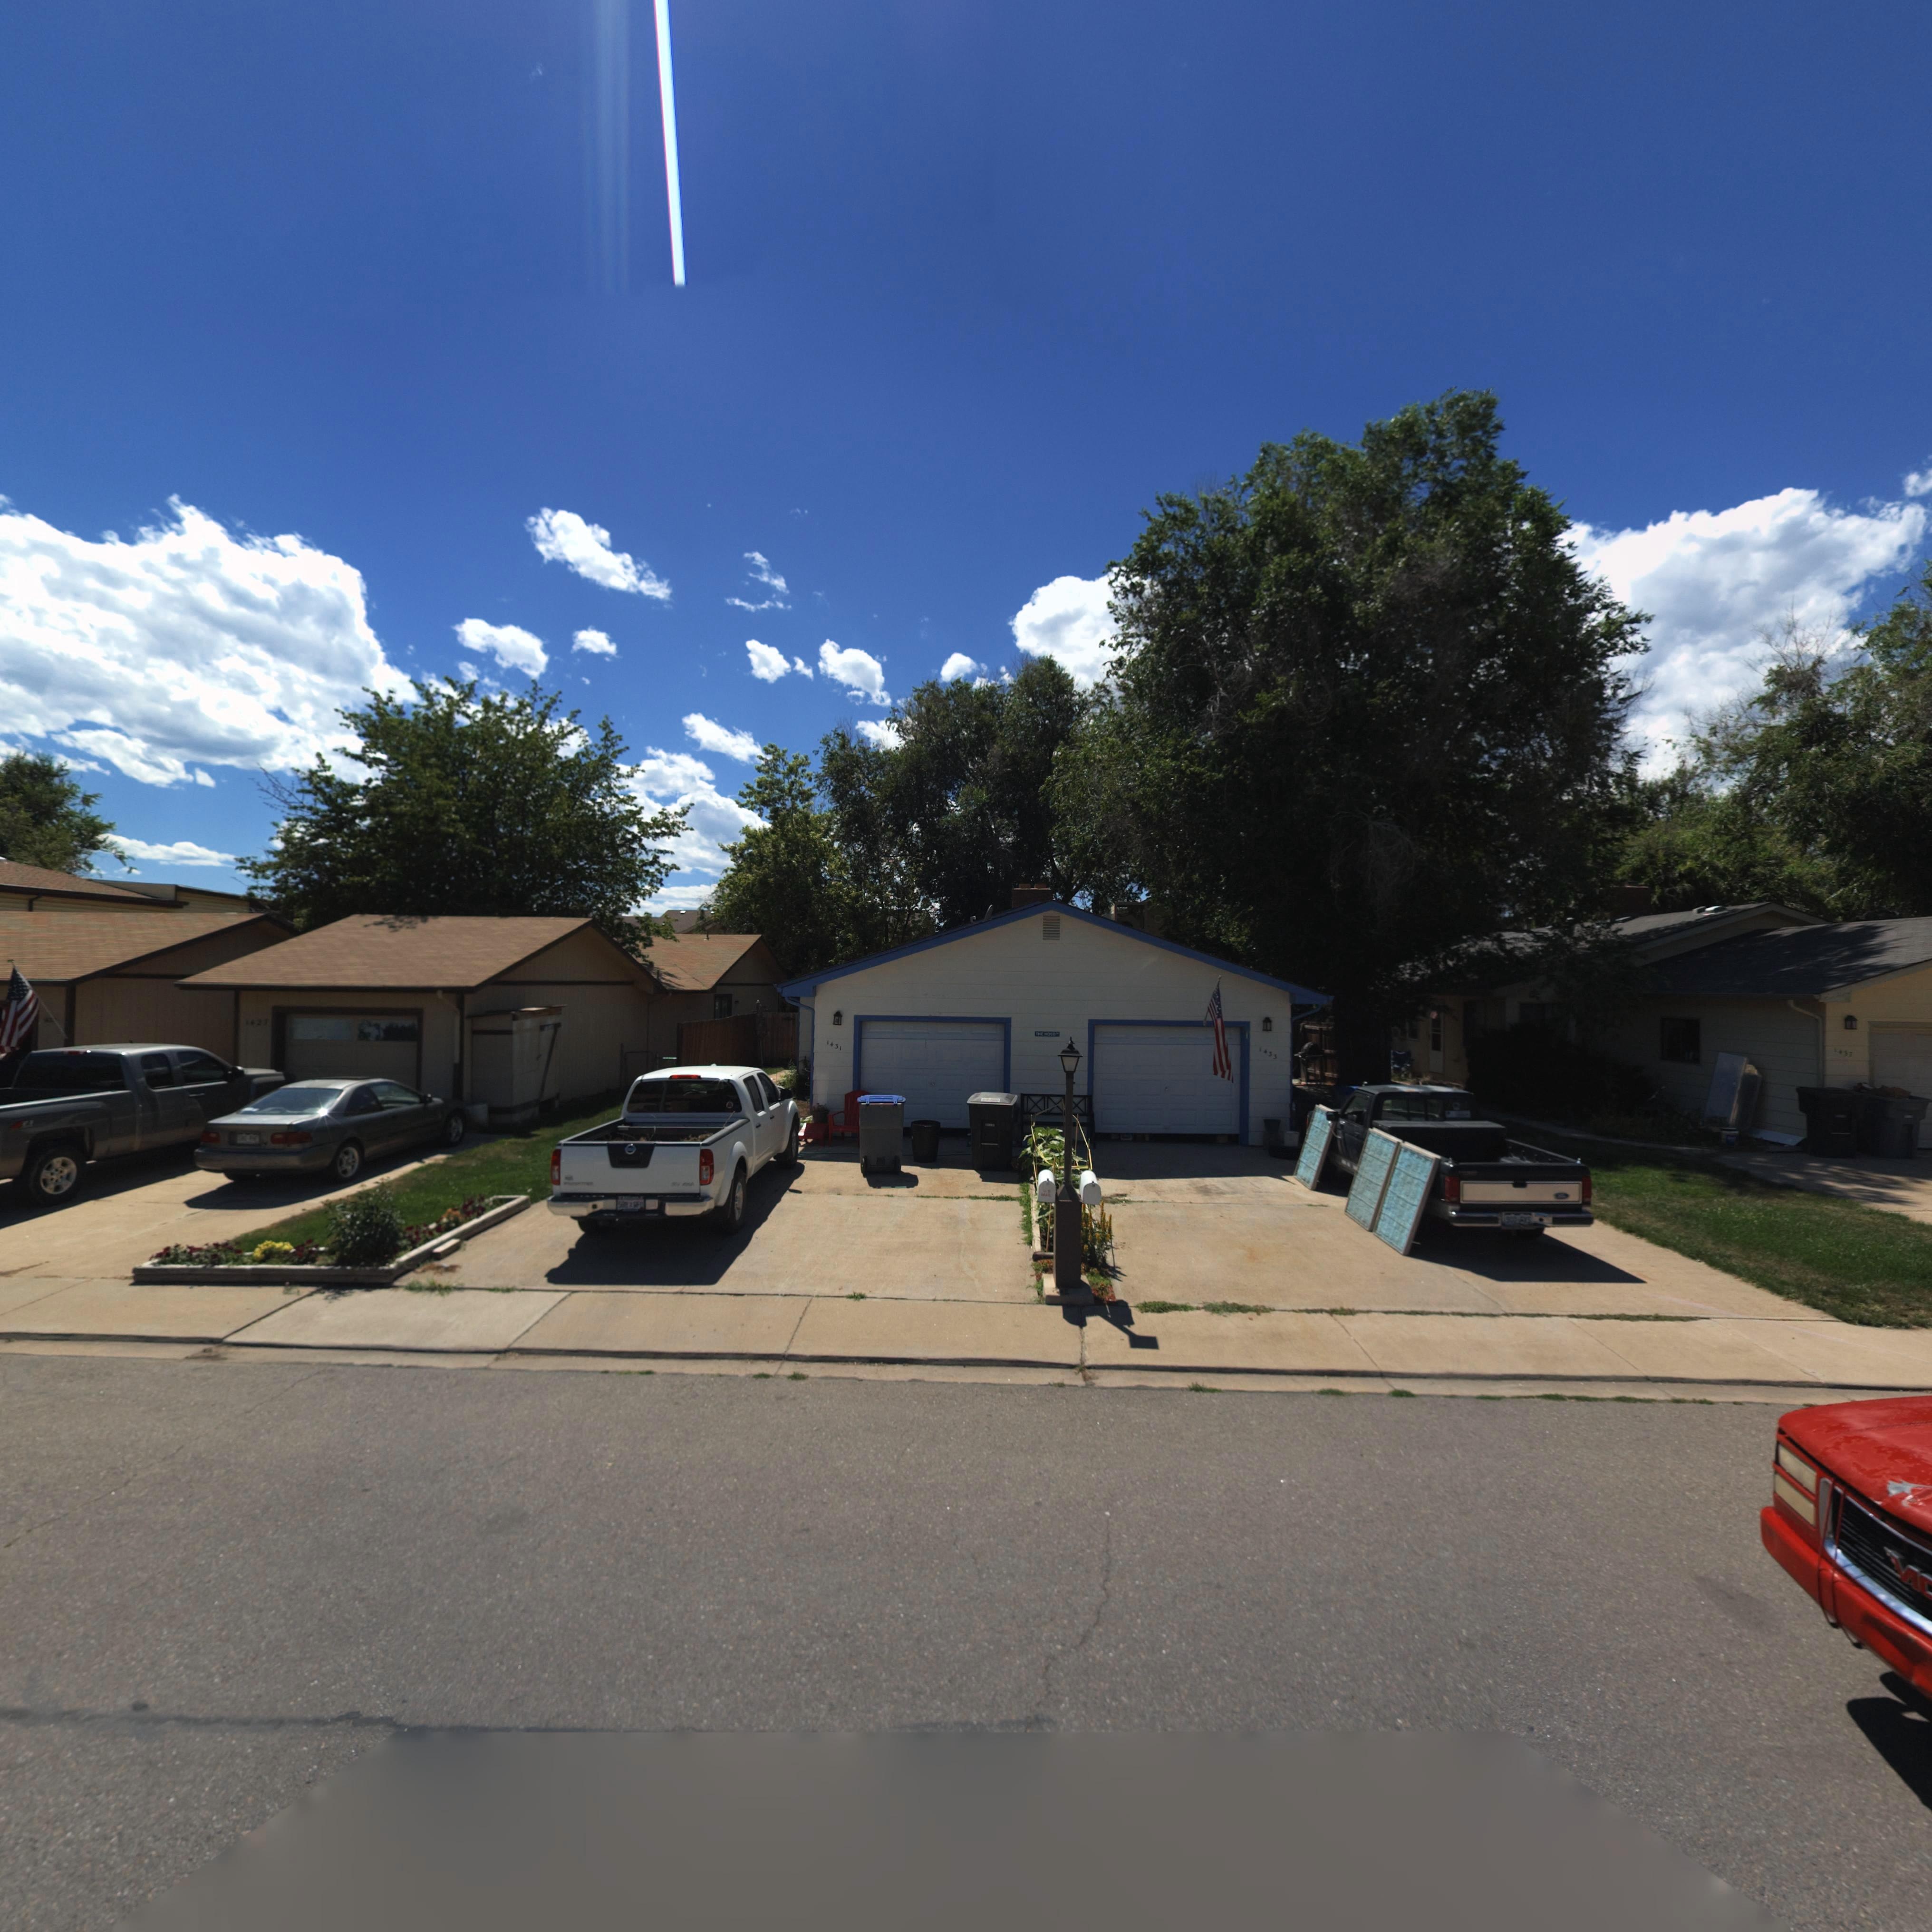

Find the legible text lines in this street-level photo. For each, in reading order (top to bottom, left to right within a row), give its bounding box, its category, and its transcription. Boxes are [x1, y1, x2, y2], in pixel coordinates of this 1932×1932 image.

[244, 1018, 268, 1026] StreetNumber: 142*
[826, 1039, 841, 1051] StreetNumber: 1431
[1259, 1046, 1276, 1060] StreetNumber: 1433
[1834, 1047, 1853, 1058] StreetNumber: 1***